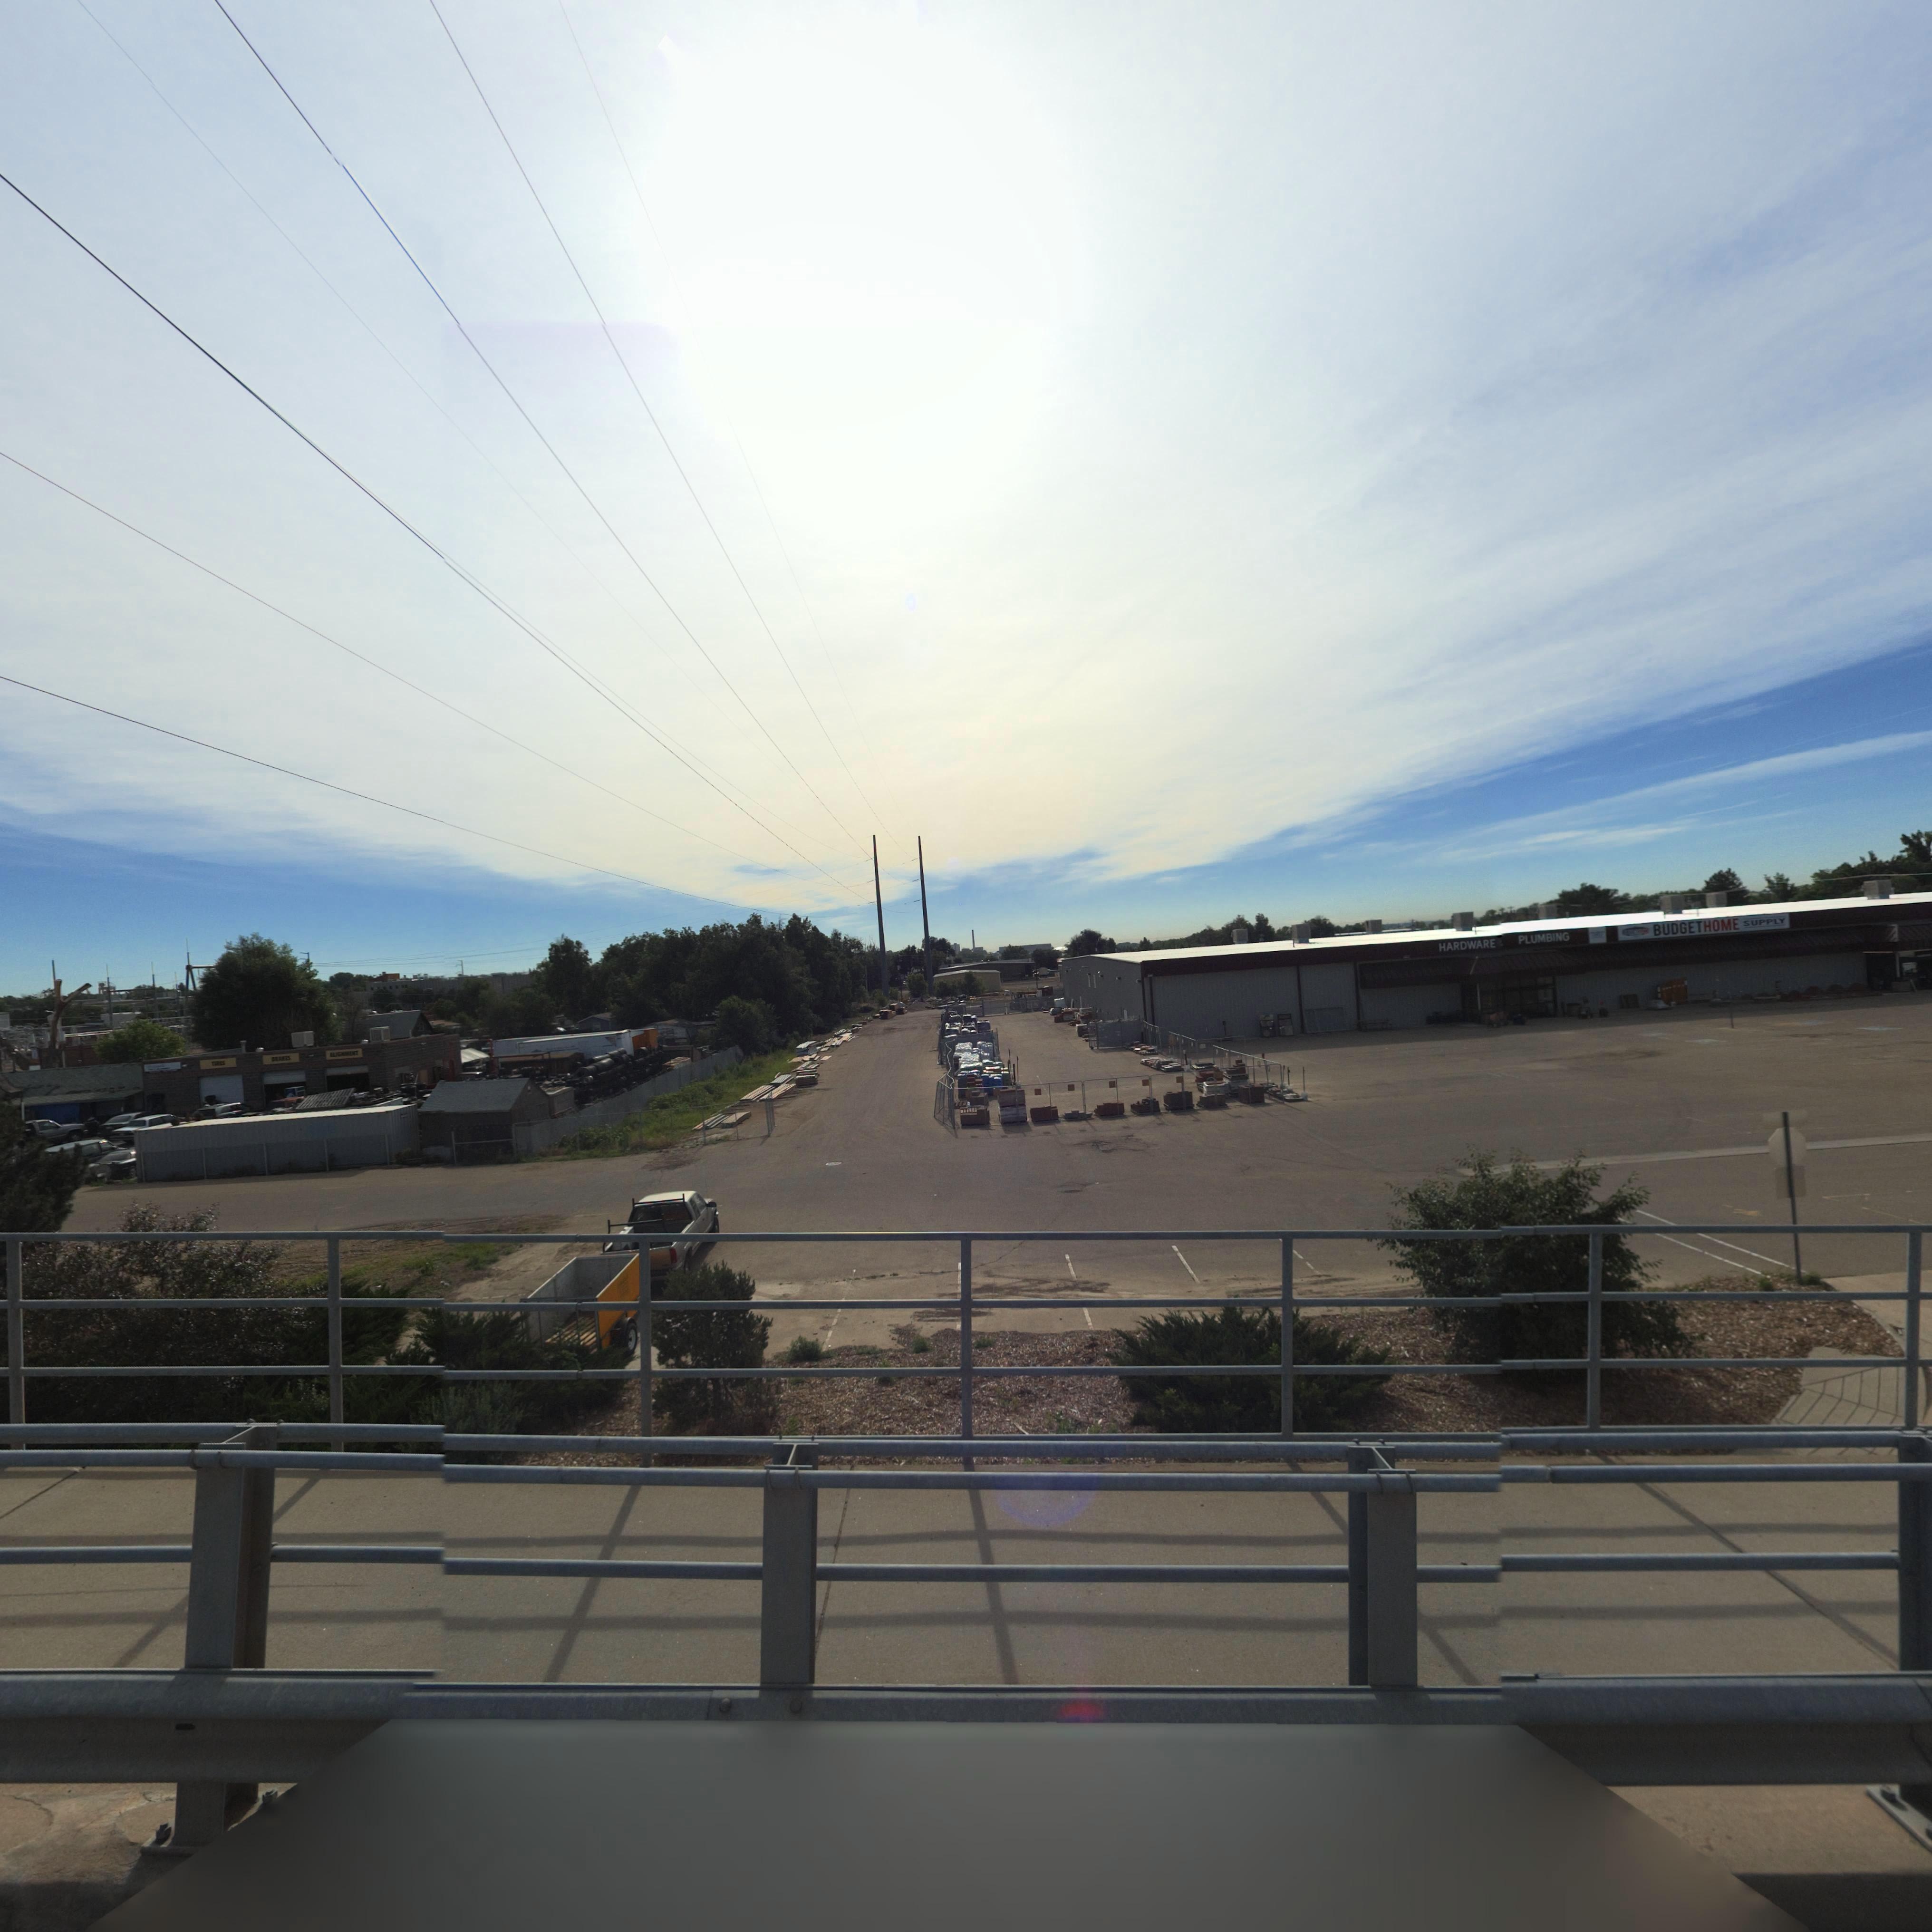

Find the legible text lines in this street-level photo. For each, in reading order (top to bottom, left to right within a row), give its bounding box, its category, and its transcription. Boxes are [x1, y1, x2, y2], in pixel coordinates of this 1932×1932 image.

[1652, 918, 1741, 936] BusinessName: BUDGETHOME
[1742, 917, 1787, 927] BusinessName: SUPPLY